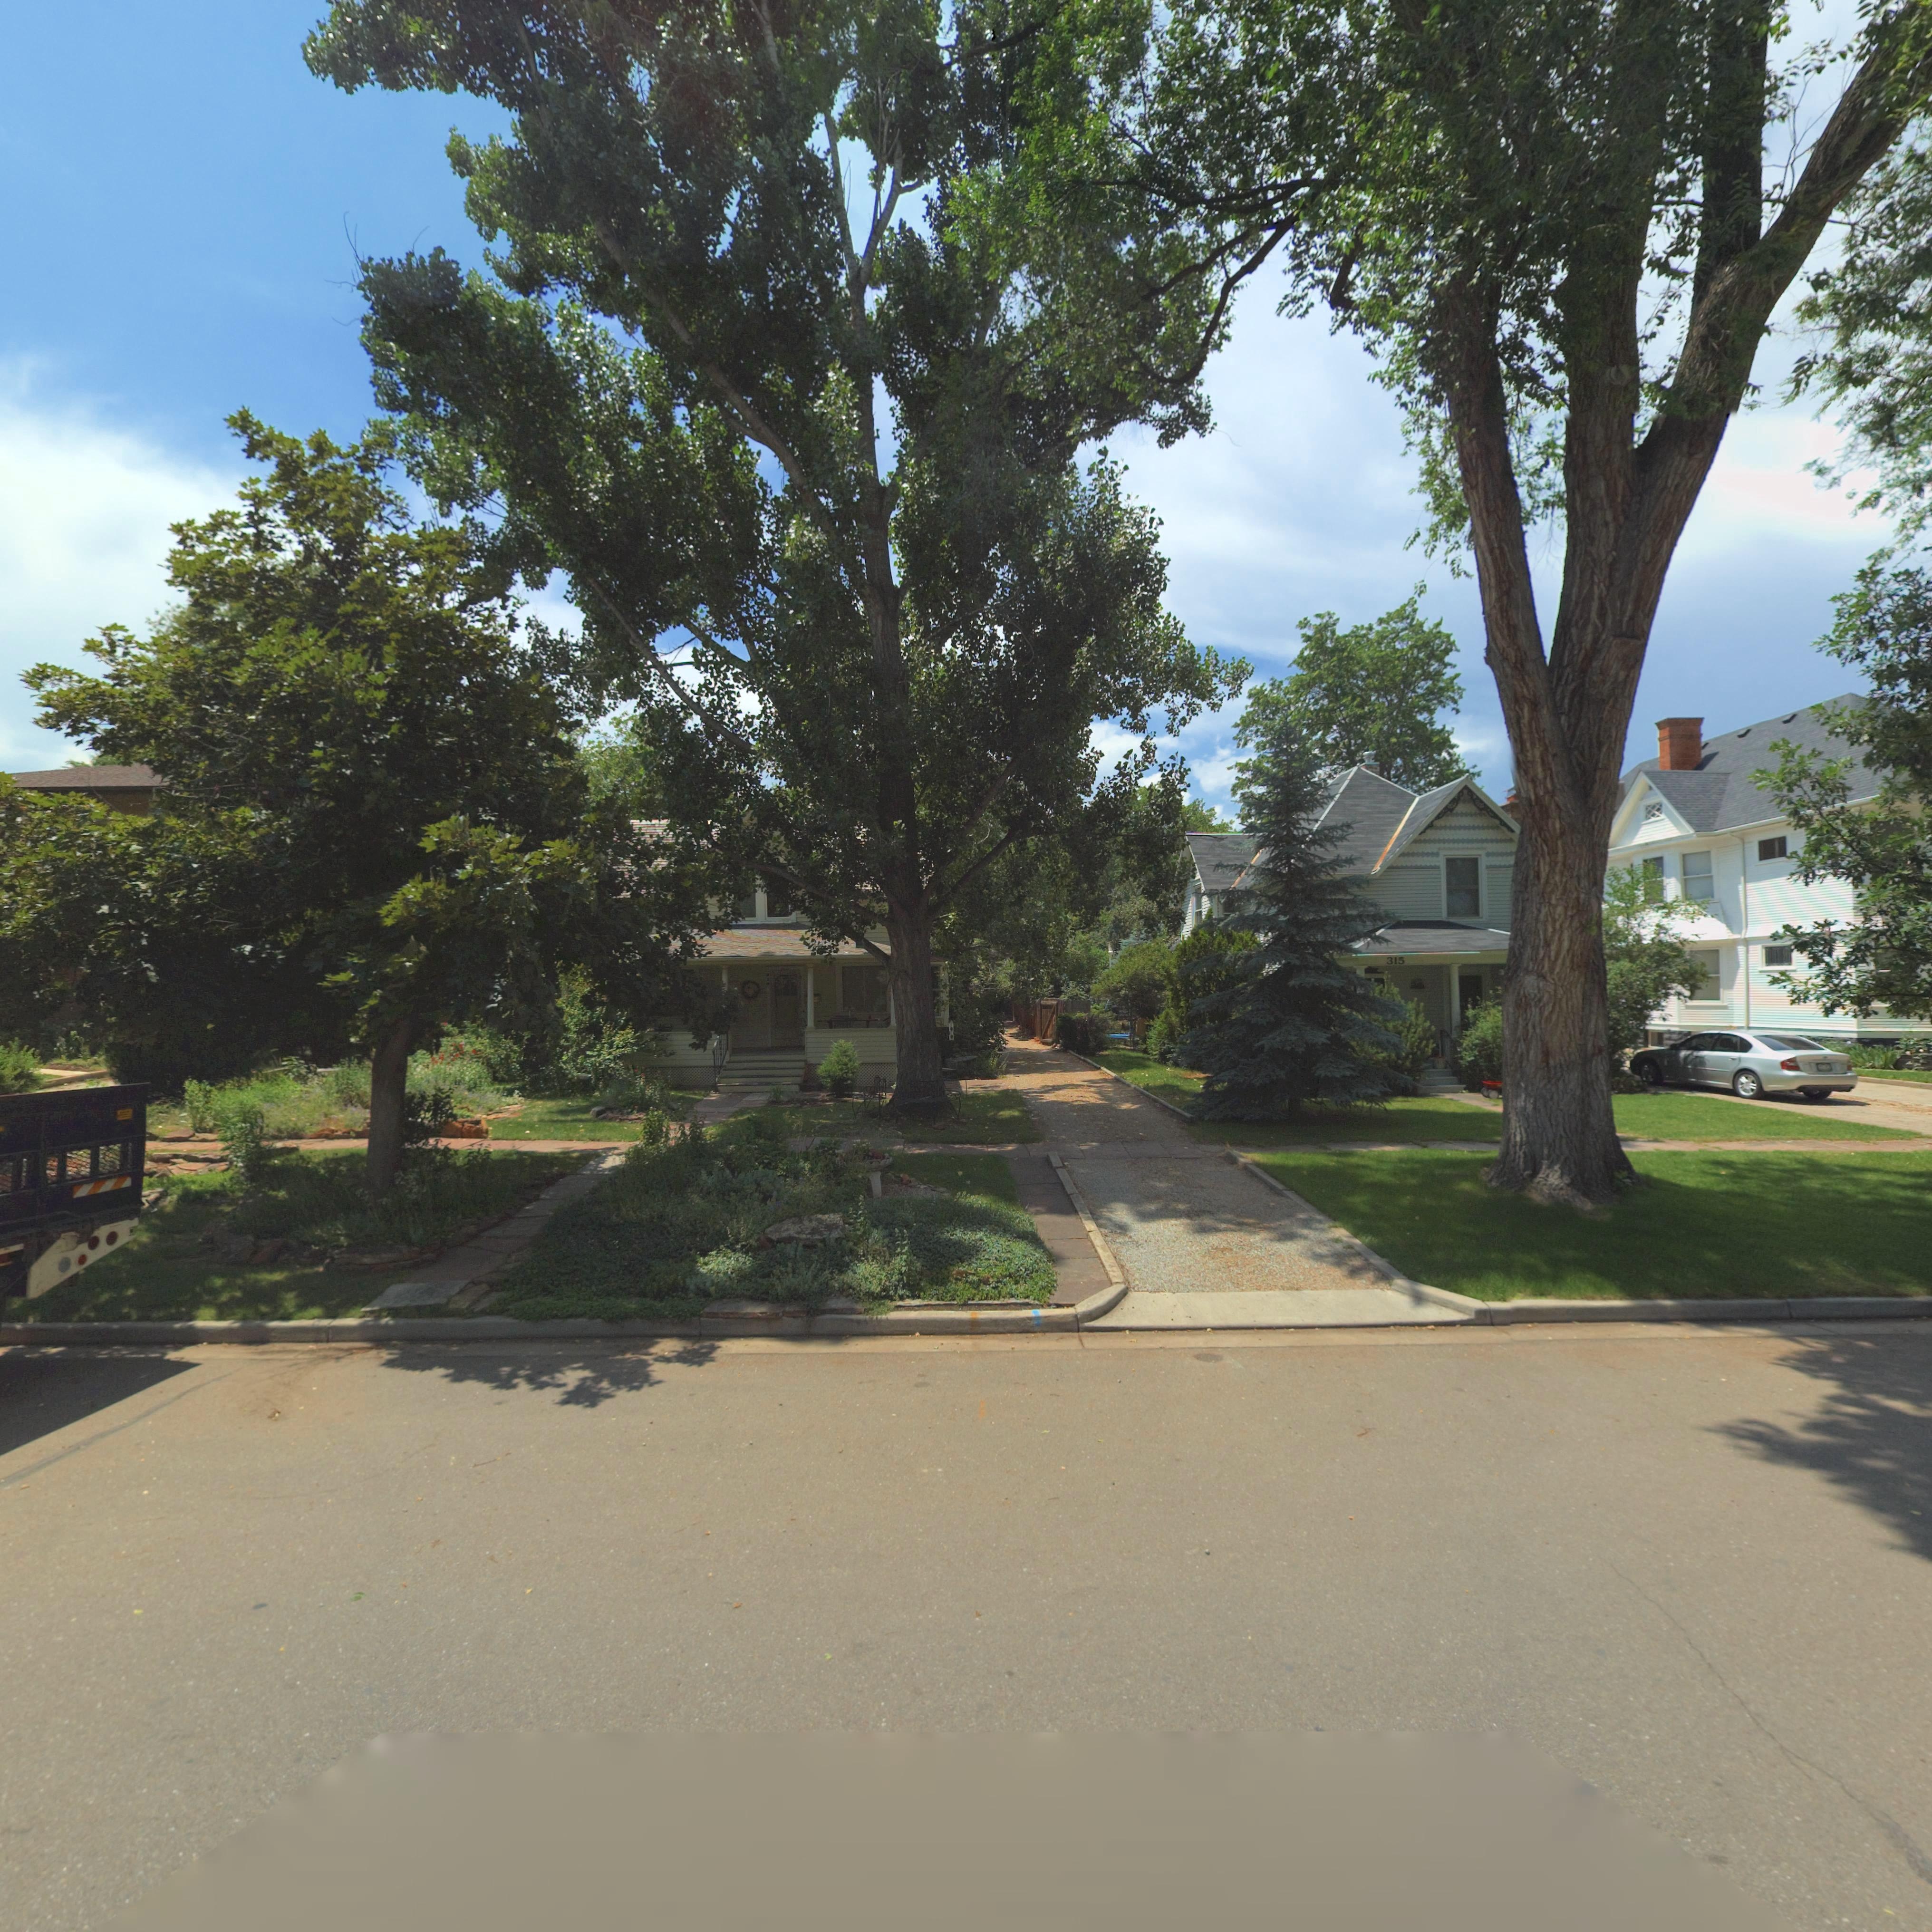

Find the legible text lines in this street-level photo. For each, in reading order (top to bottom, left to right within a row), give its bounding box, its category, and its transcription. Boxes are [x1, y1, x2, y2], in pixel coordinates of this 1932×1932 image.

[1387, 955, 1404, 965] StreetNumber: 315